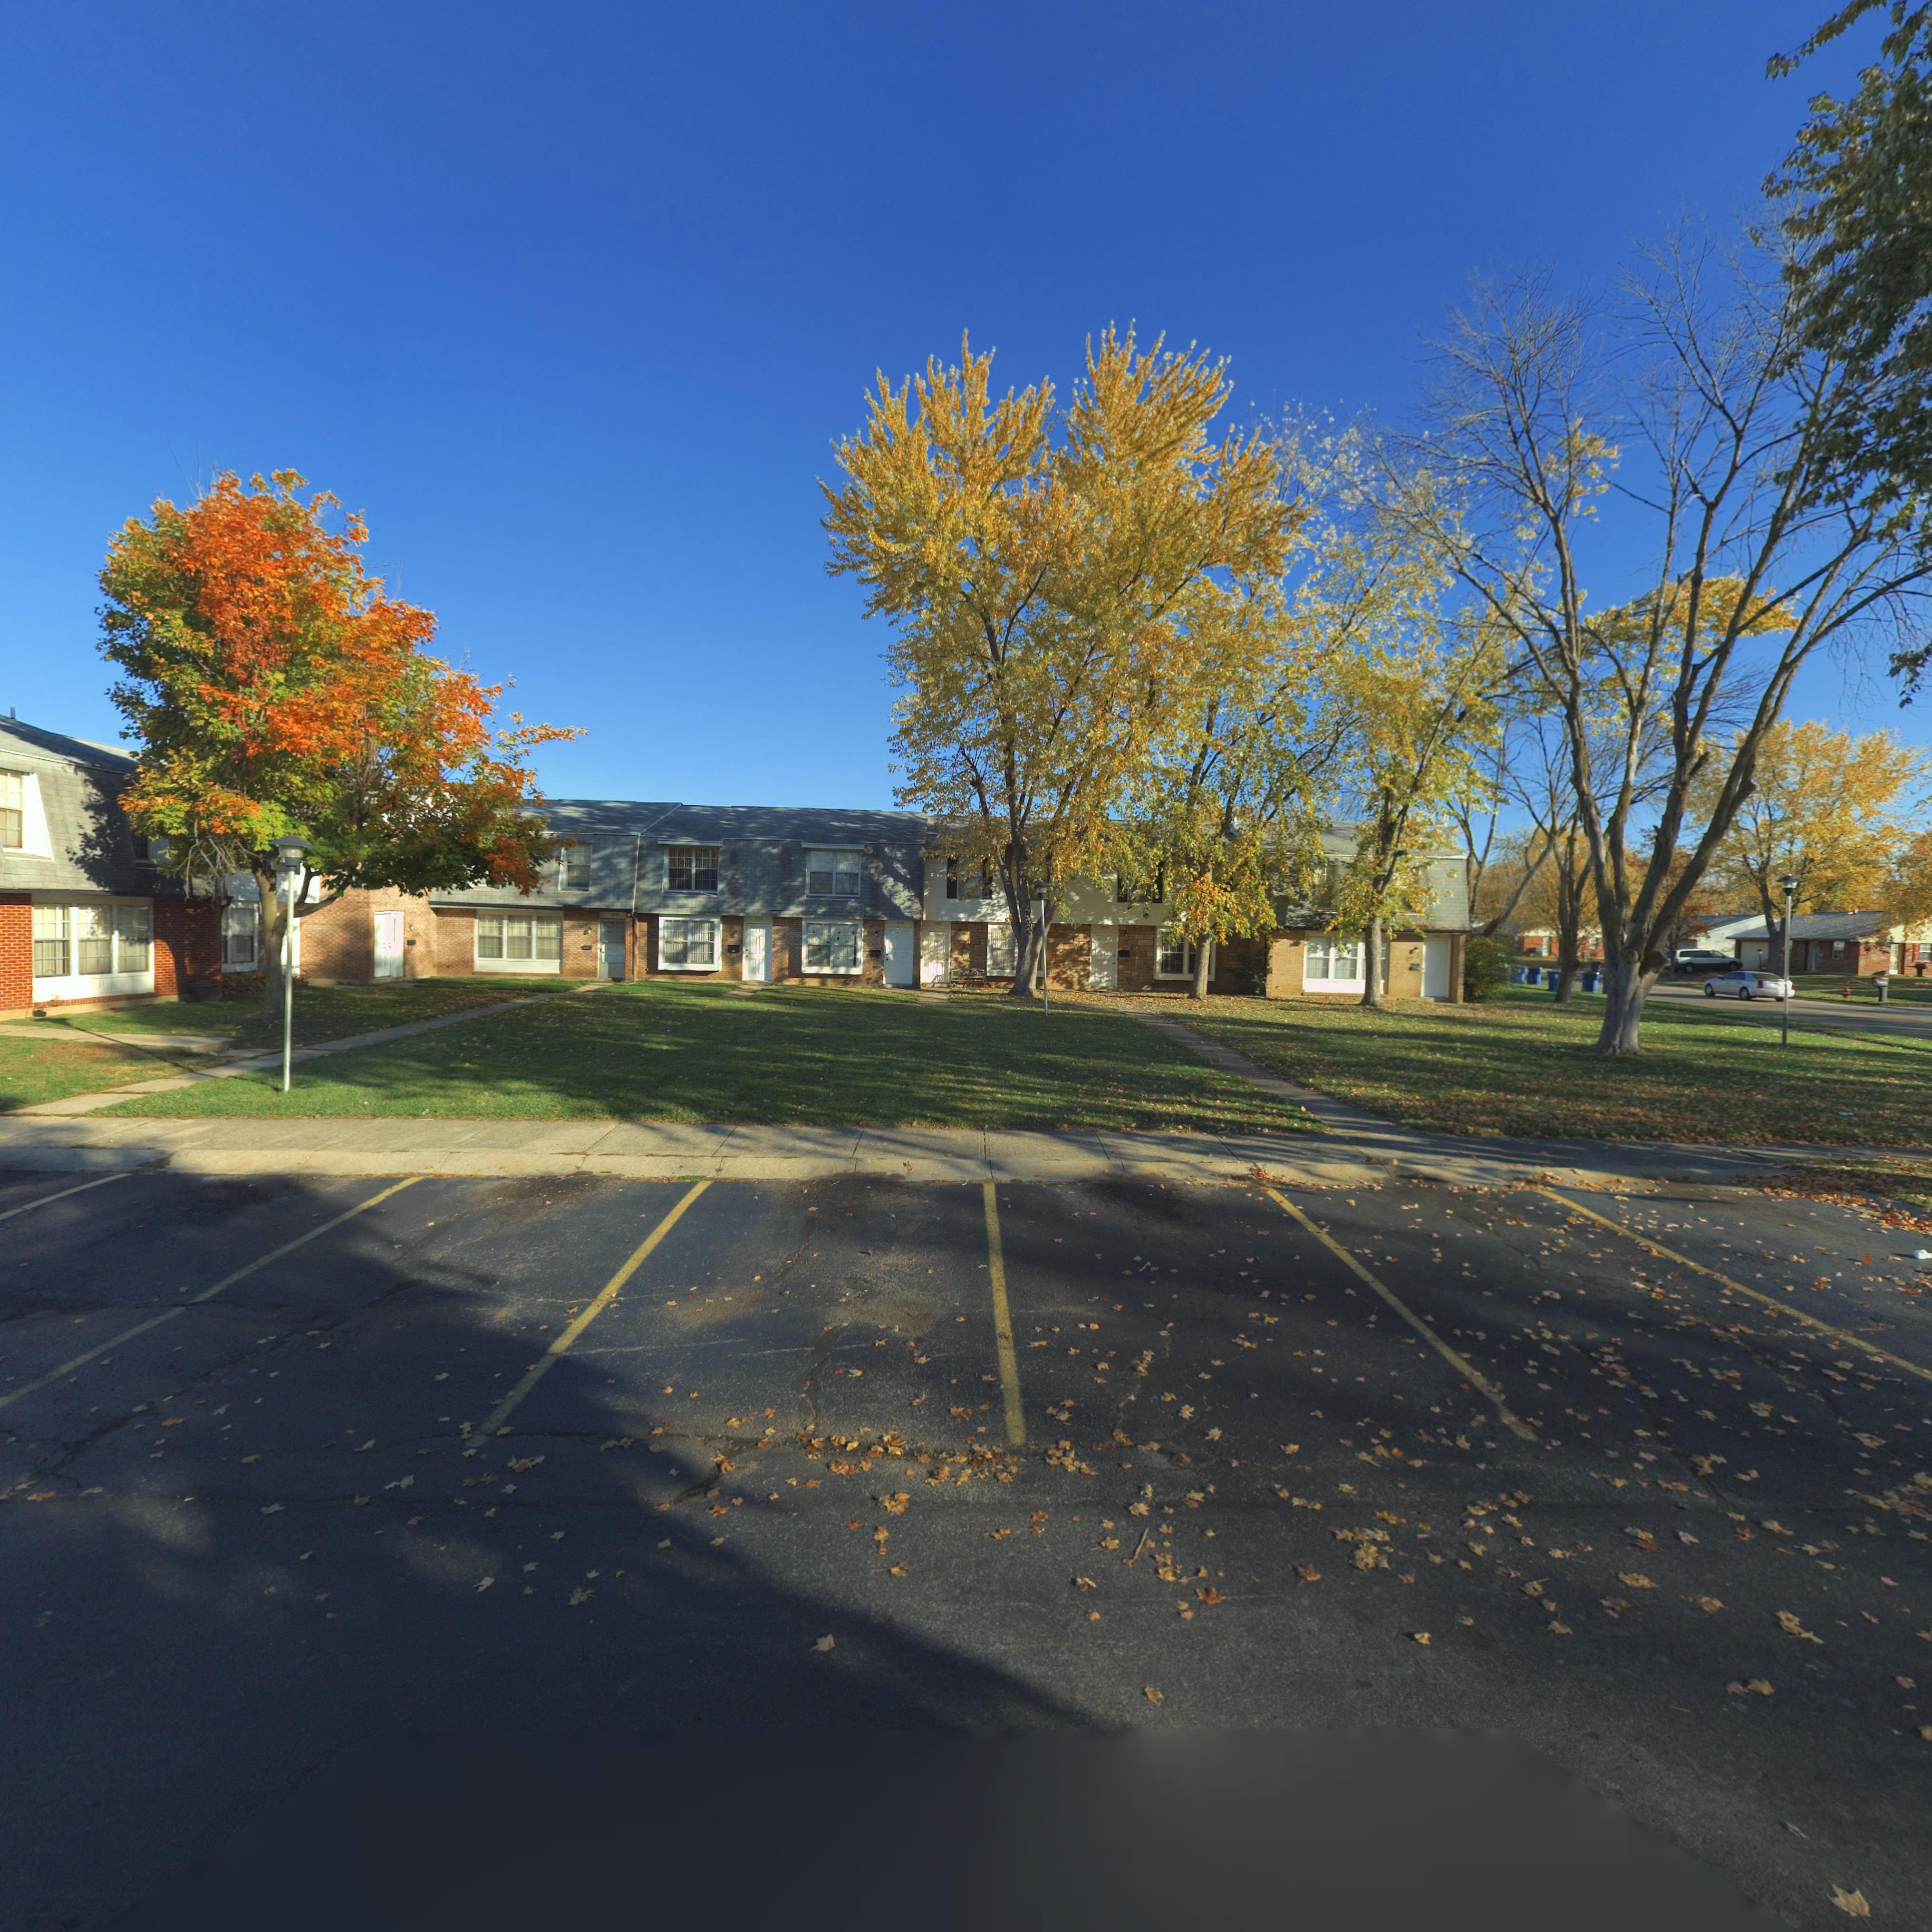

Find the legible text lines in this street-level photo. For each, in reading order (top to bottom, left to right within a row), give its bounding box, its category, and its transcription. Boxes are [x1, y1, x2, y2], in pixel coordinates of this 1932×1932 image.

[610, 913, 619, 917] StreetNumber: *7**
[754, 917, 763, 921] StreetNumber: 7717
[896, 920, 905, 925] StreetNumber: 7719
[933, 921, 941, 926] StreetNumber: 7721
[1100, 926, 1110, 929] StreetNumber: 7723